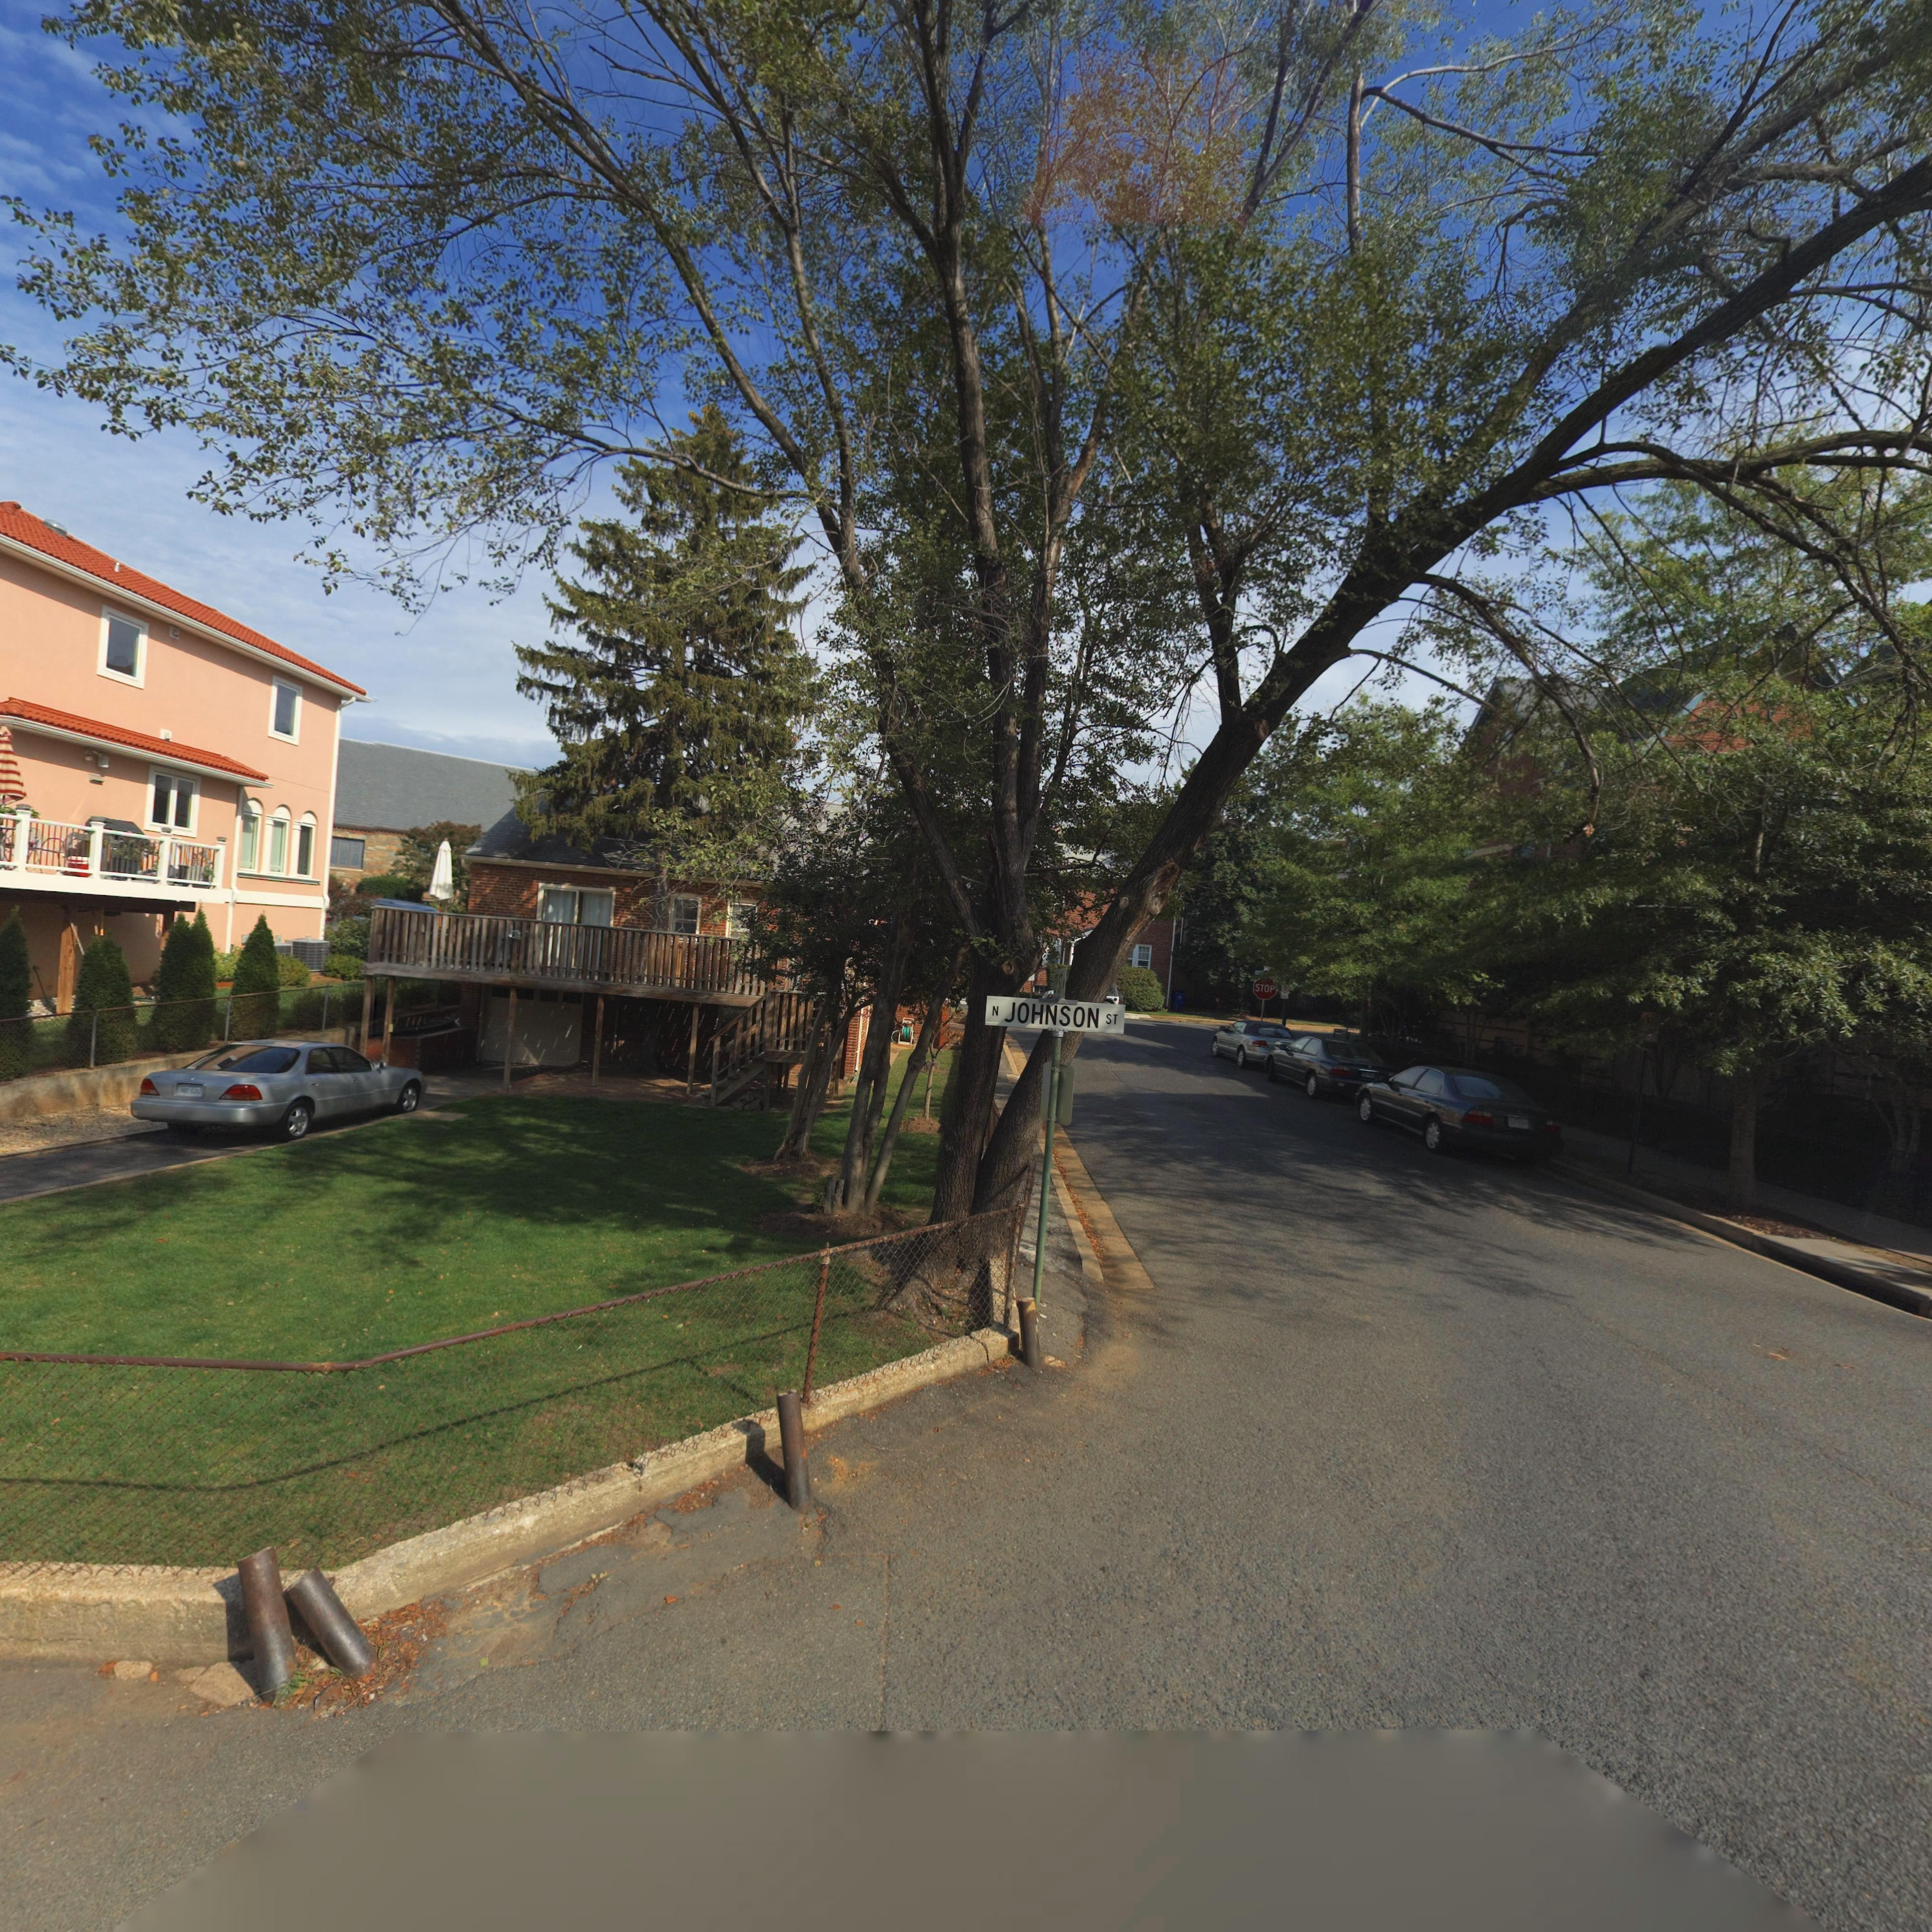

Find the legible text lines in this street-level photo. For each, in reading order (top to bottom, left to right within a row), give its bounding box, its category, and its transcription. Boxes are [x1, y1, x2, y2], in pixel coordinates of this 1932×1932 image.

[1254, 983, 1276, 994] None: STOP
[991, 1000, 1120, 1030] StreetName: N JOHNSON ST